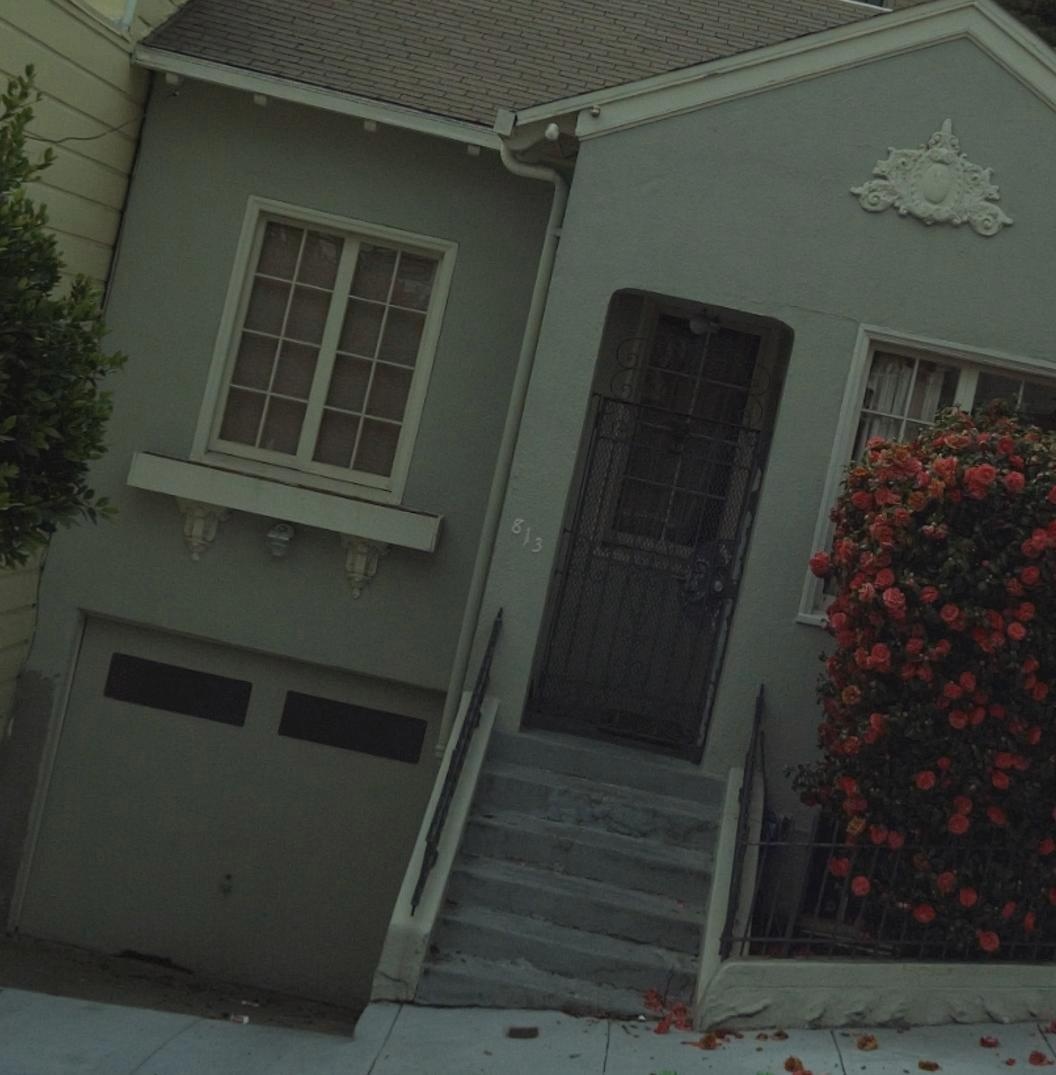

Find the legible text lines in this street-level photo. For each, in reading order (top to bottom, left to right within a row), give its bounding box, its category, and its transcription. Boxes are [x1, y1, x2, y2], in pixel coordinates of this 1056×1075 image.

[508, 512, 548, 558] StreetNumber: 813